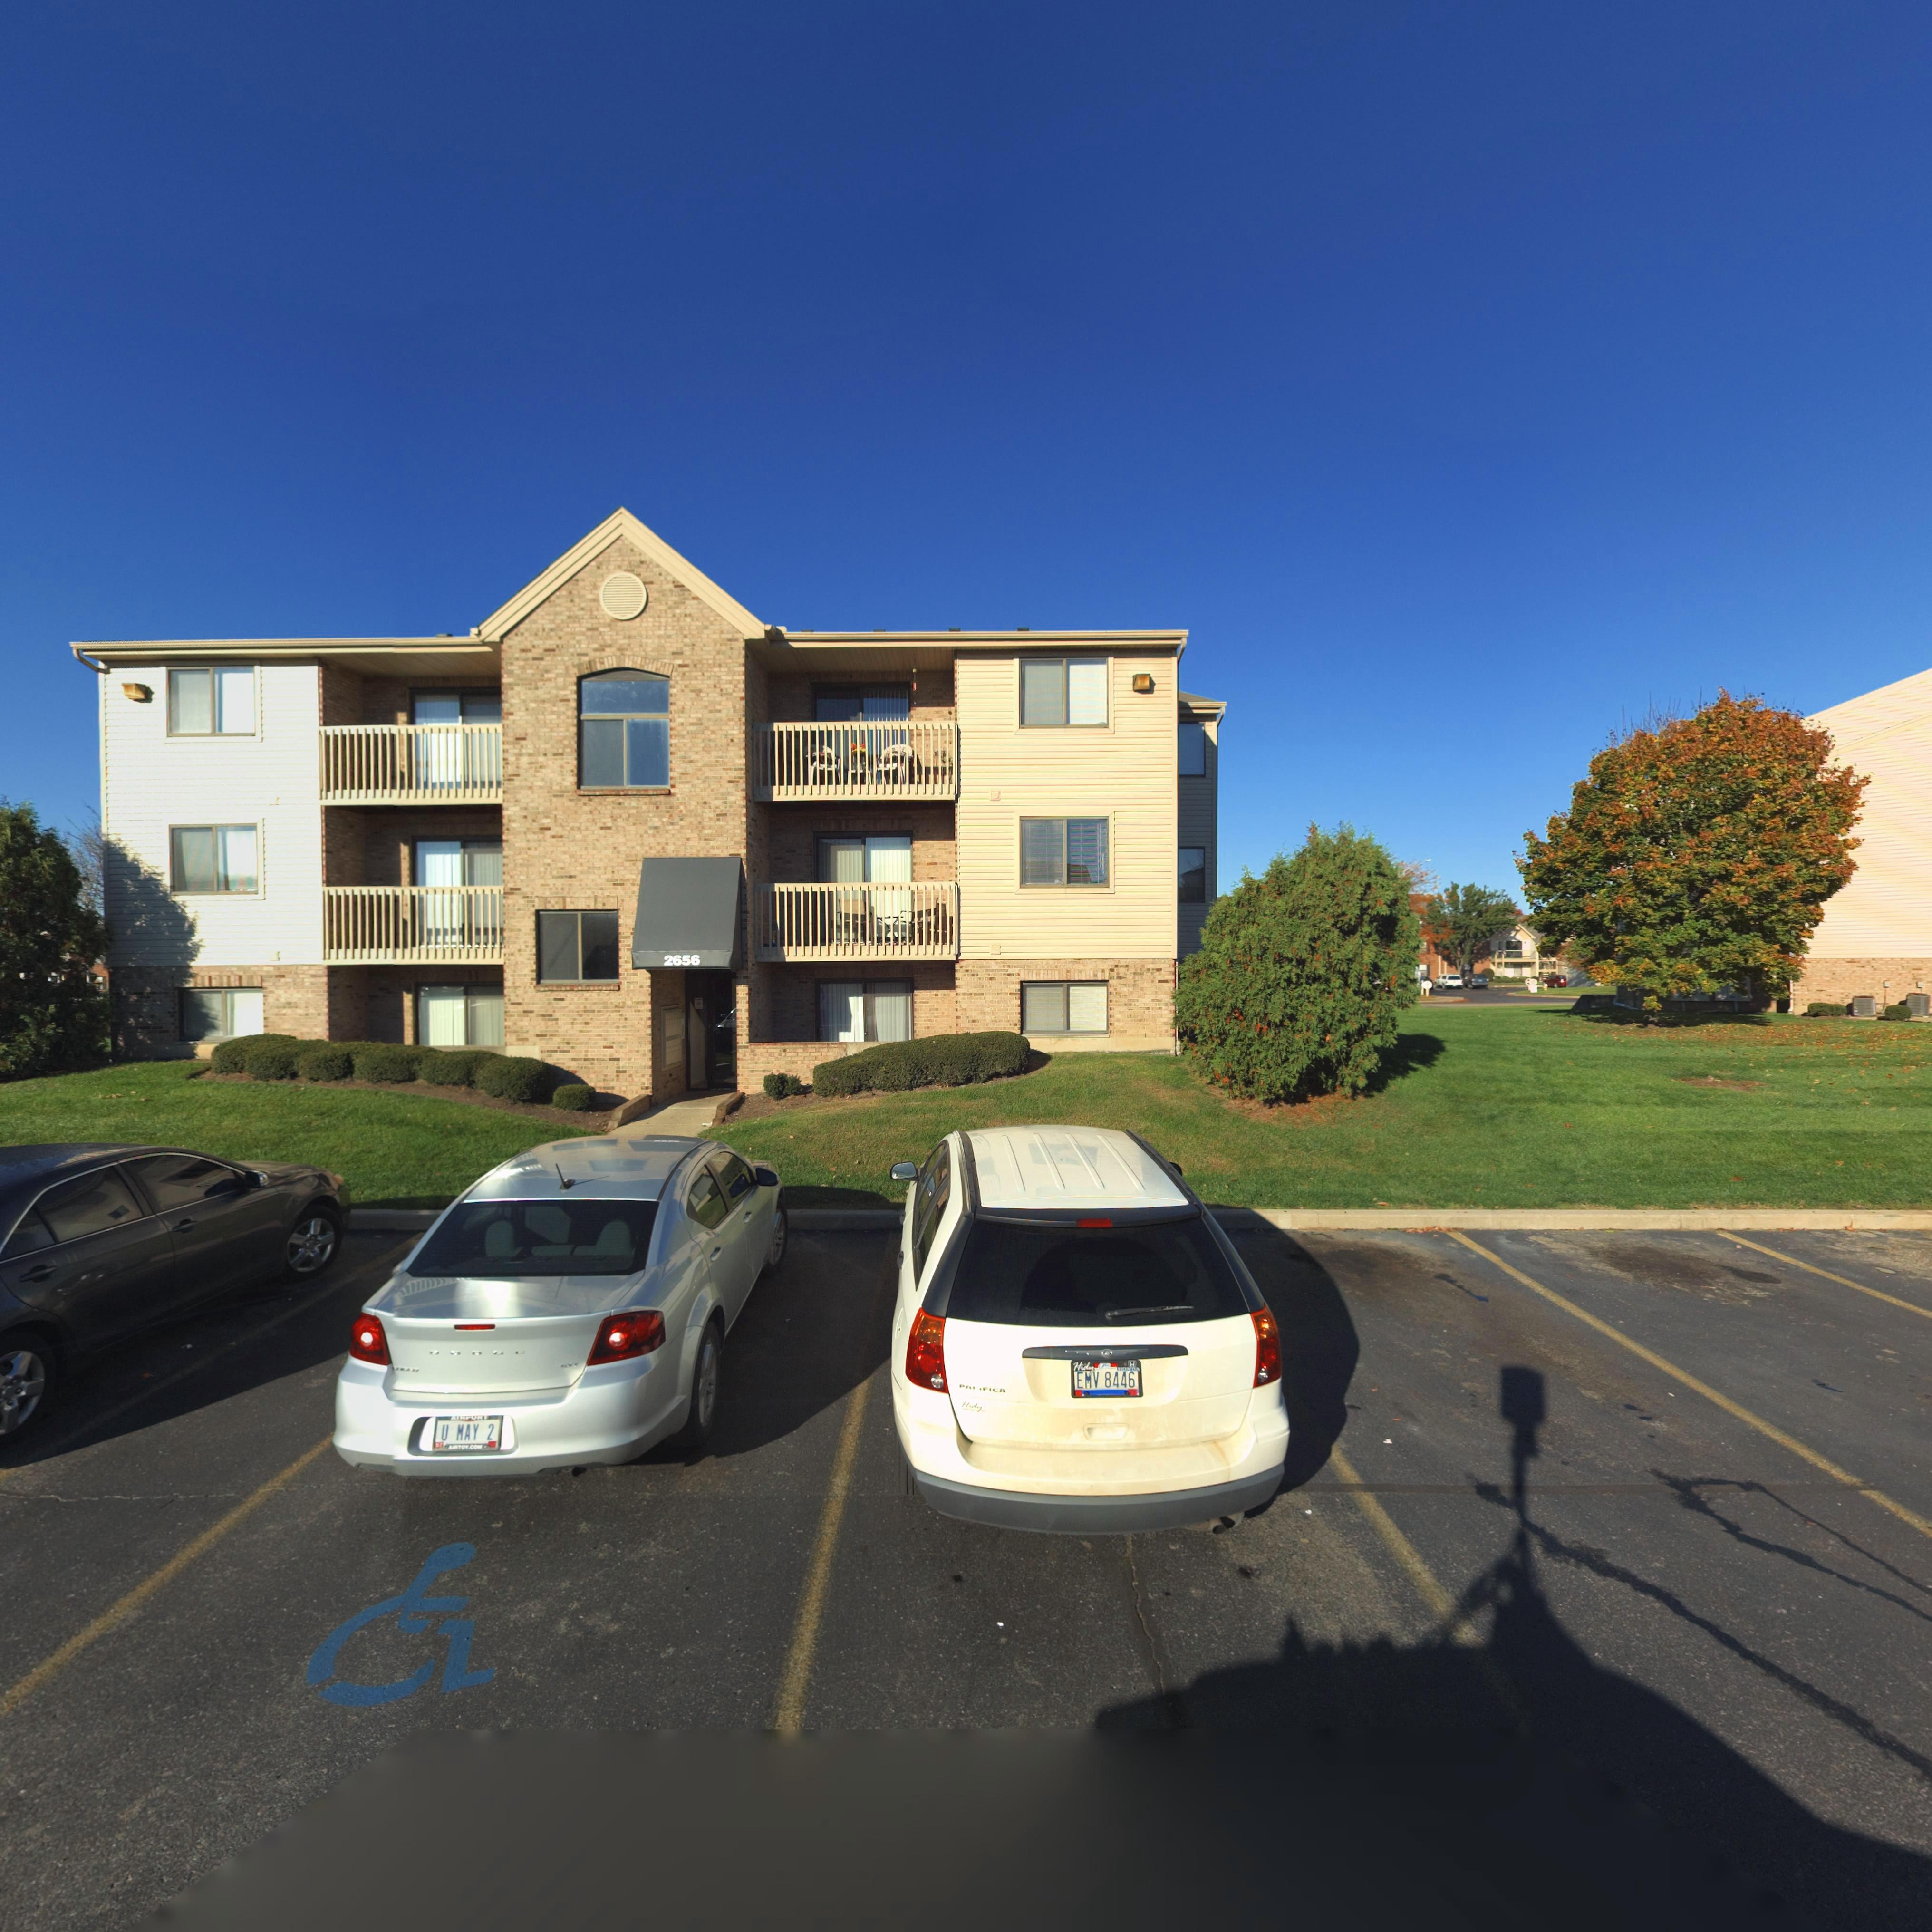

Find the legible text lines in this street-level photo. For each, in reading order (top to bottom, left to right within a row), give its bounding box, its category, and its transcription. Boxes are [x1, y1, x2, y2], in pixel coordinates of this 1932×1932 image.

[663, 954, 701, 966] StreetNumber: 2656